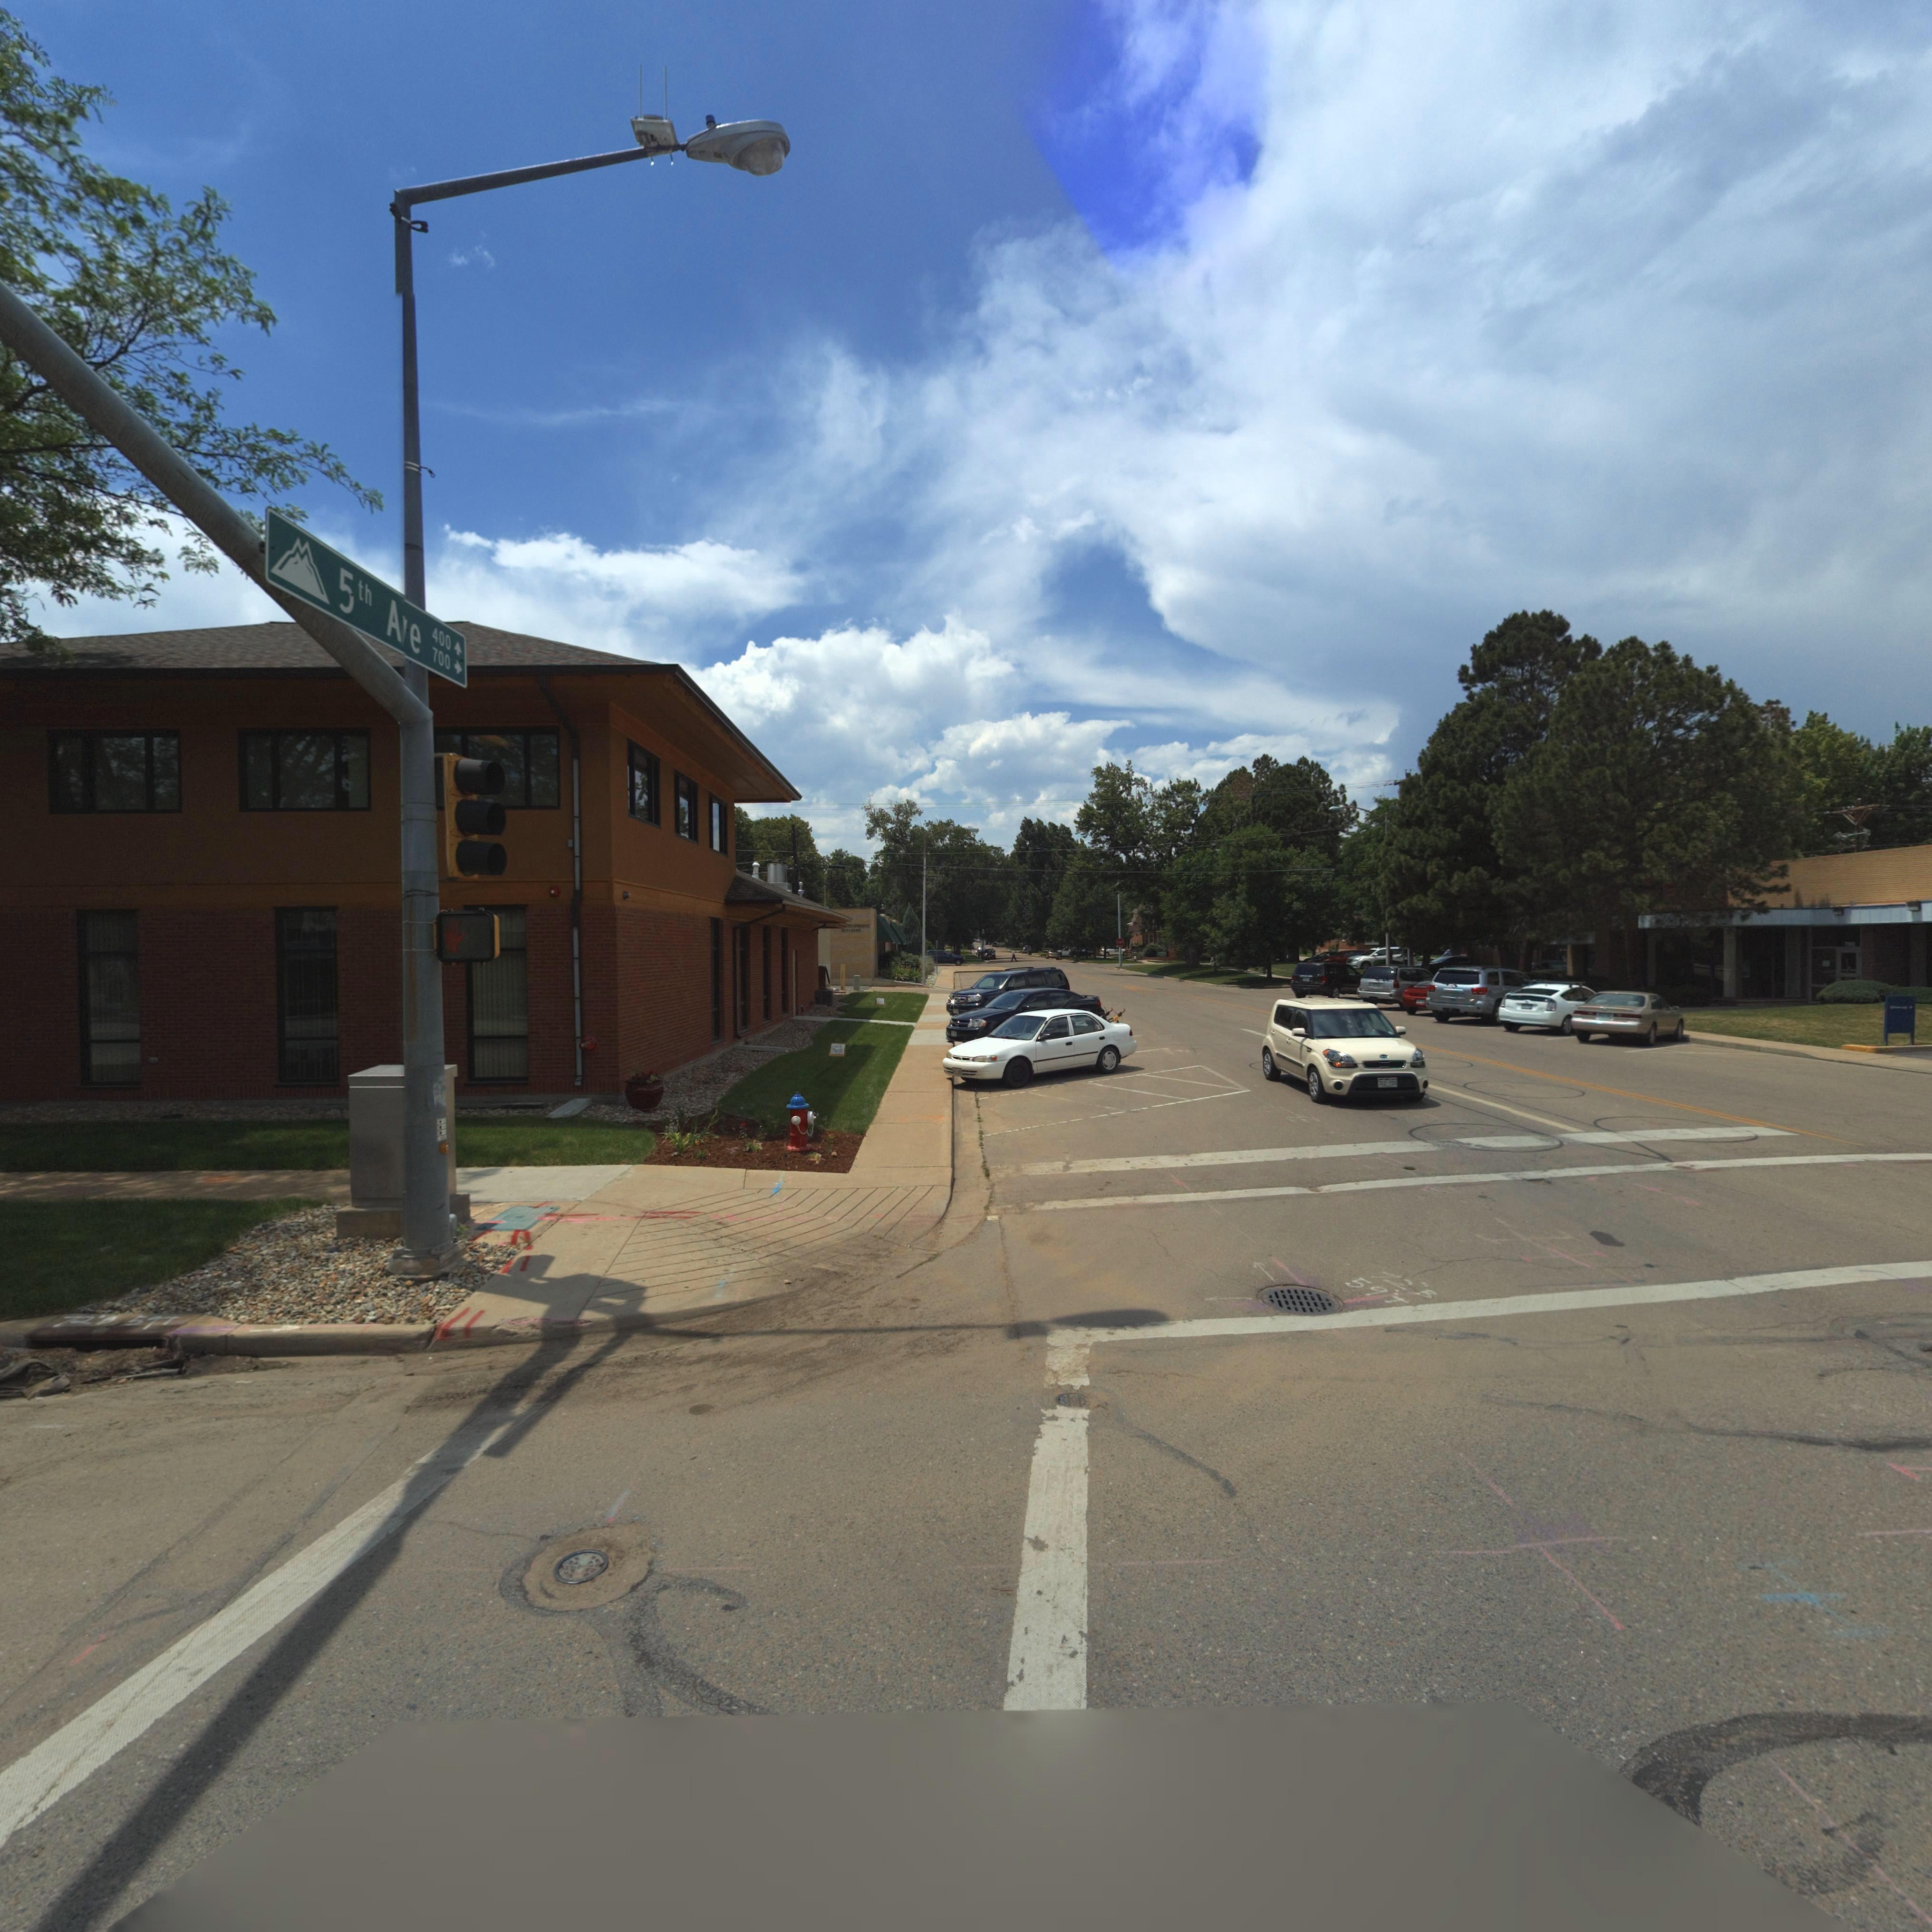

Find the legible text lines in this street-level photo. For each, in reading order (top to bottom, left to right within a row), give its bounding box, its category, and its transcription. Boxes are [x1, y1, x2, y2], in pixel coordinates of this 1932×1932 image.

[338, 566, 423, 654] StreetName: 5th A*e
[431, 627, 452, 652] StreetNumberRange: 400
[432, 646, 463, 676] StreetNumberRange: 700->